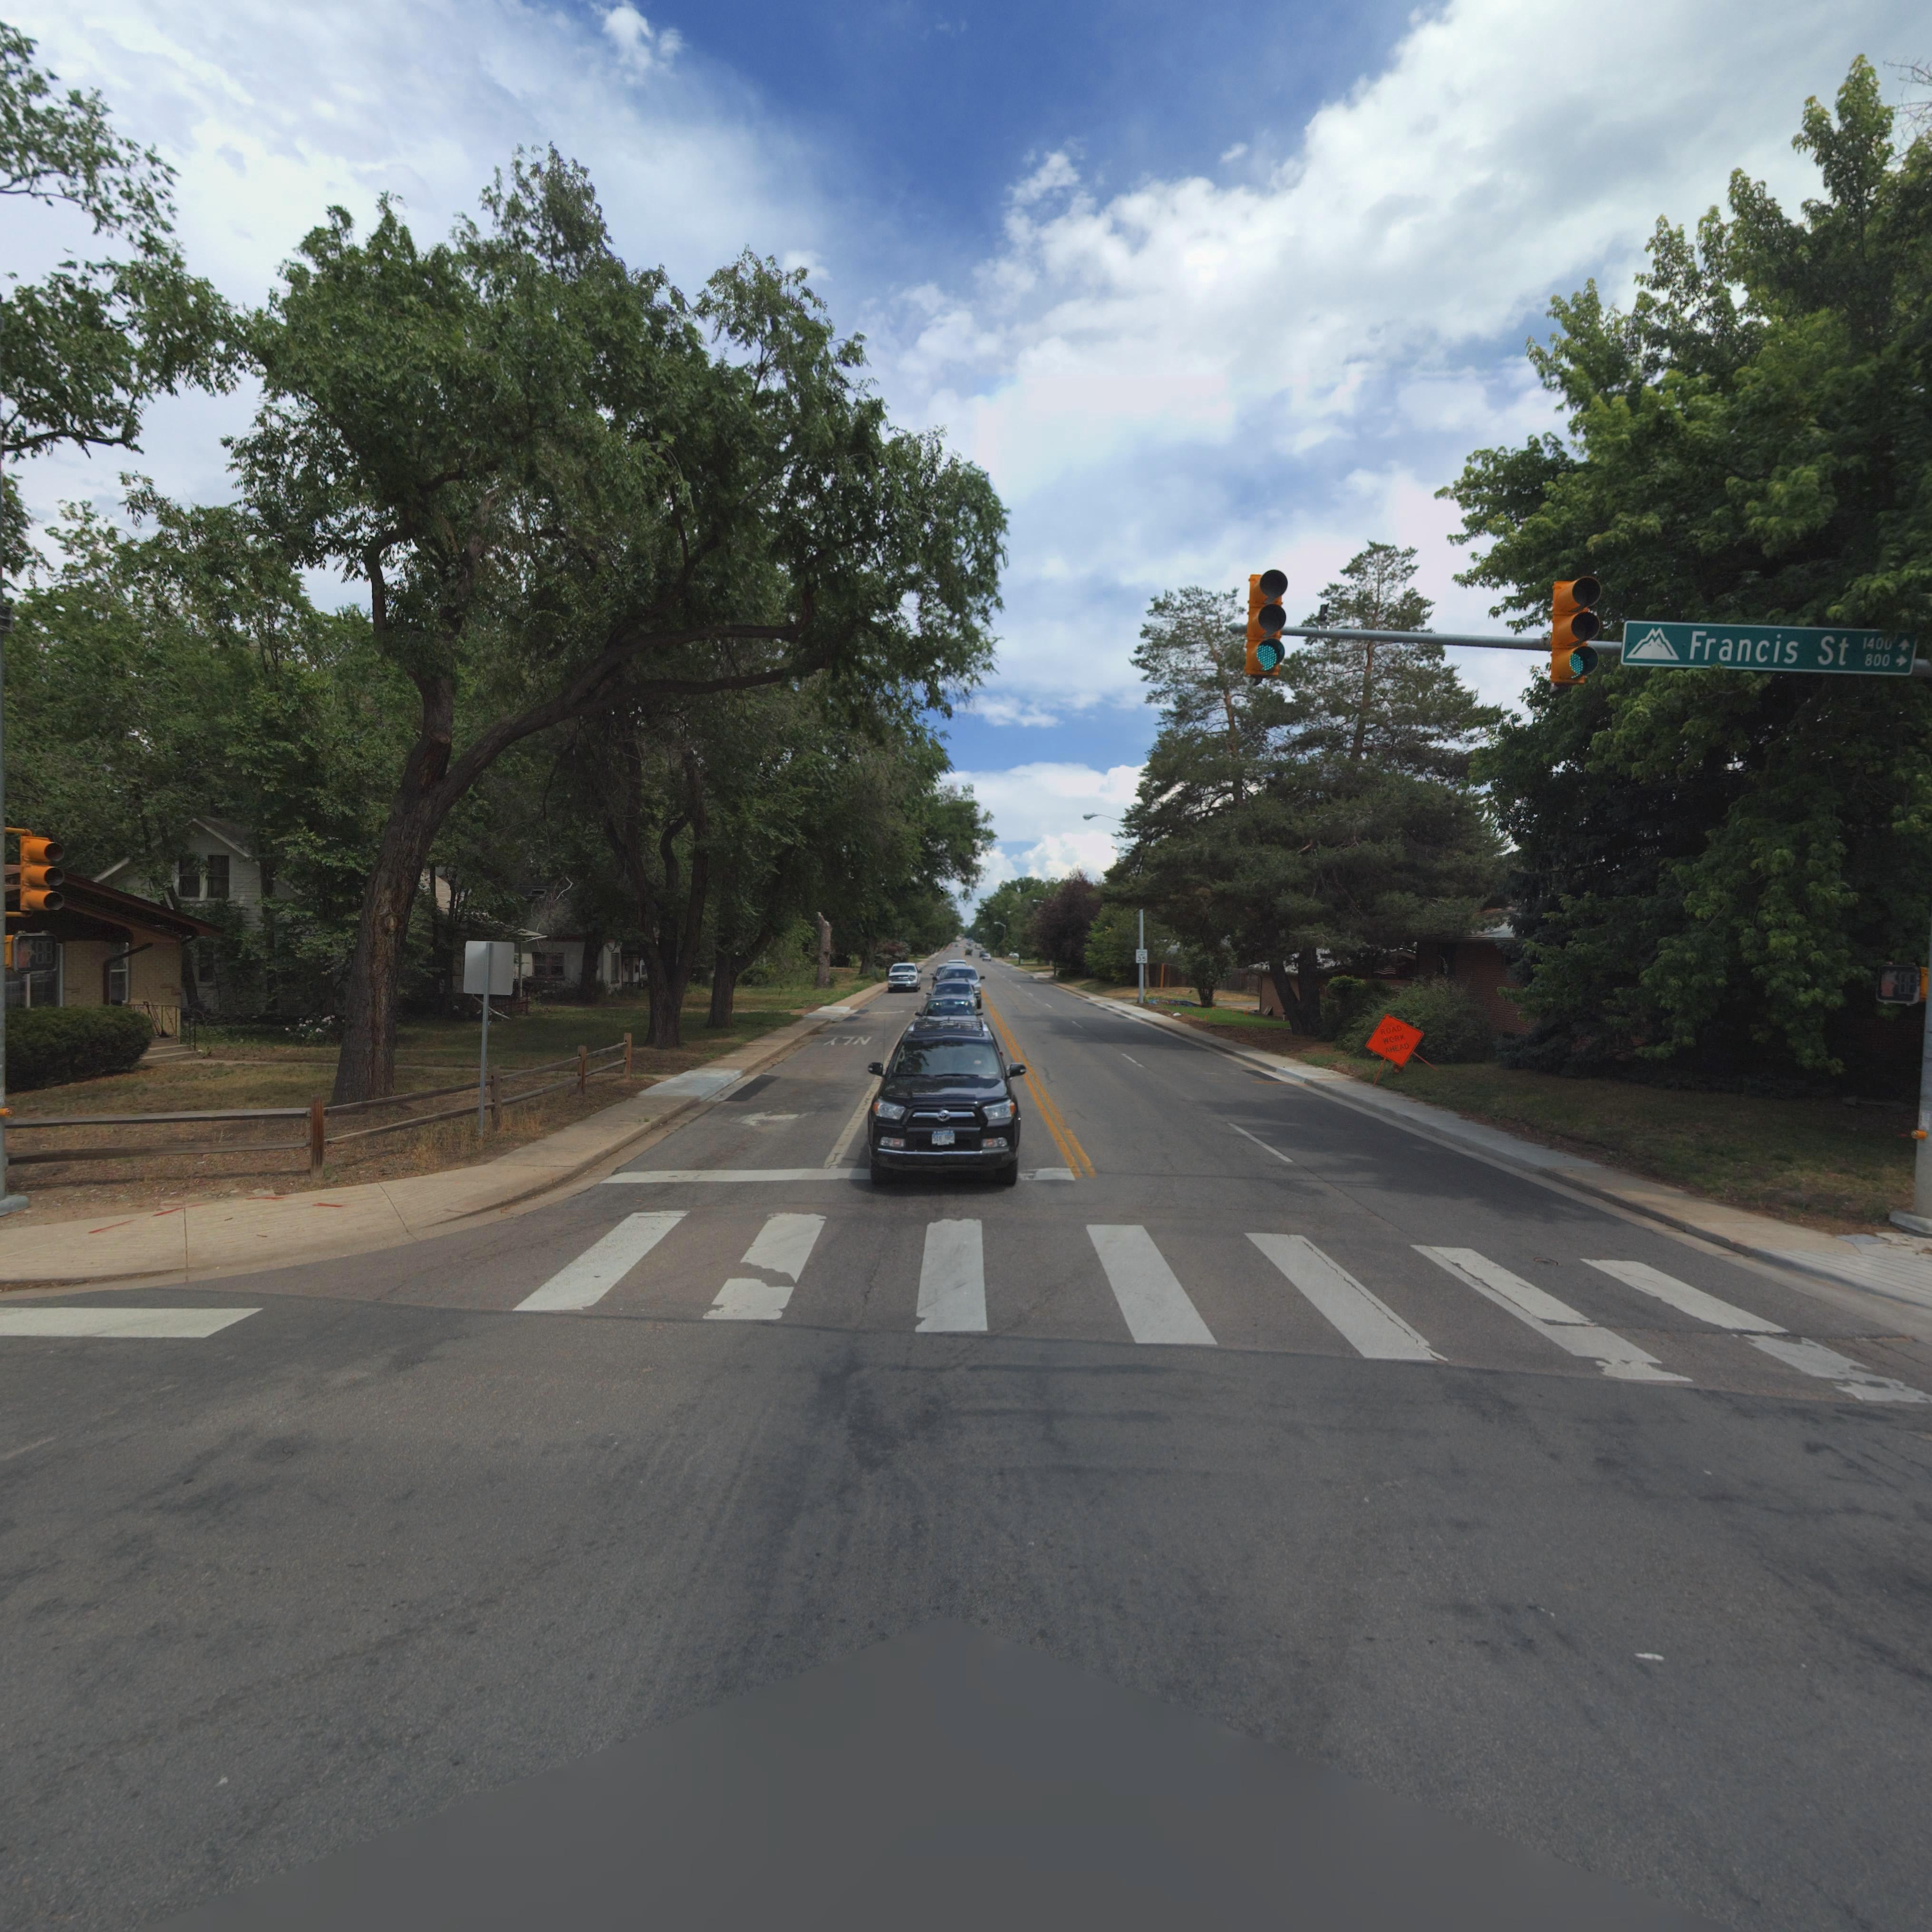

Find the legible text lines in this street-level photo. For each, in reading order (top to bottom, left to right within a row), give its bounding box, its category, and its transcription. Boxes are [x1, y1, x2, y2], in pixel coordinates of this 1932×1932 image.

[1689, 630, 1851, 666] StreetName: Francis St
[1862, 637, 1893, 651] StreetNumberRange: 1400
[1864, 652, 1908, 668] StreetNumberRange: 800 ->